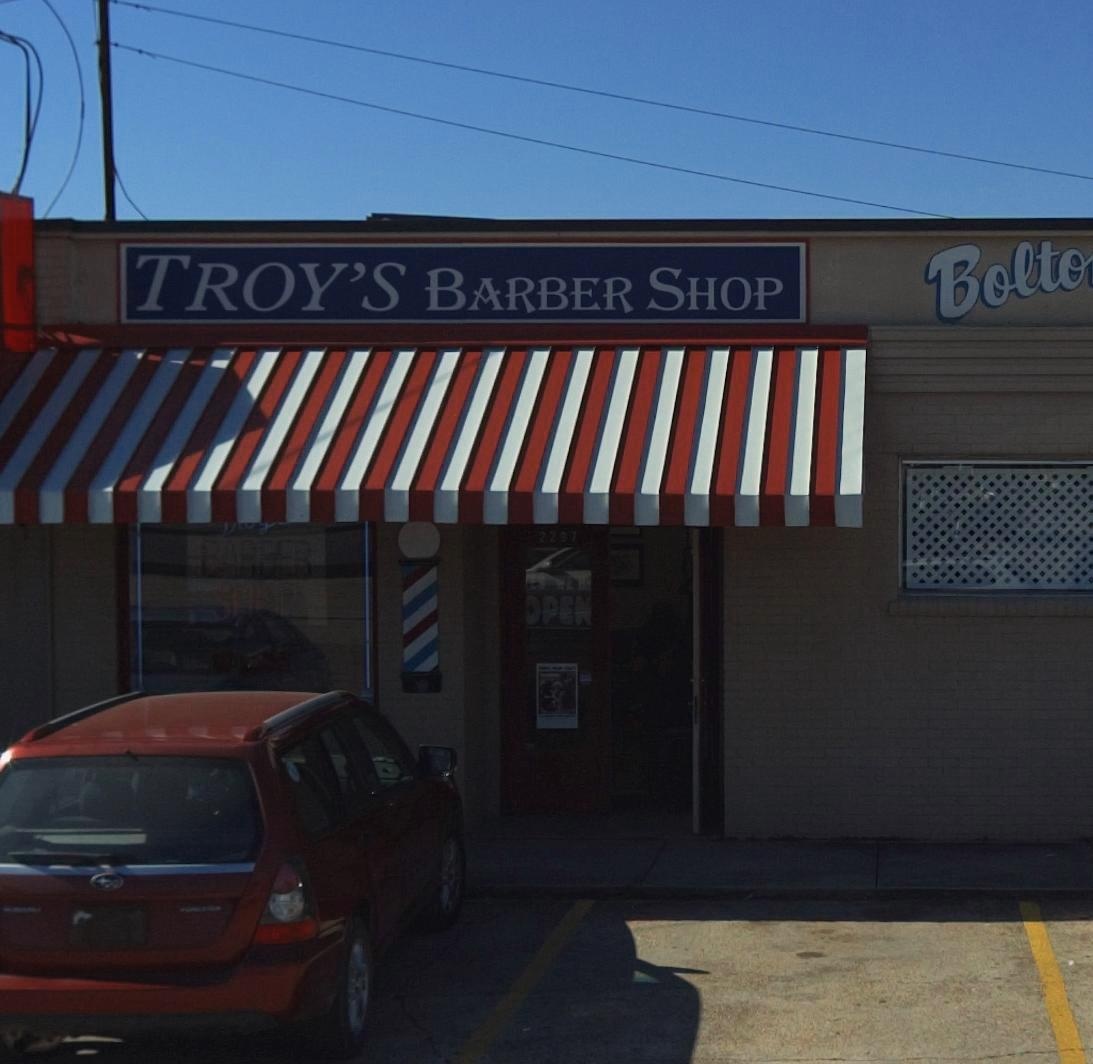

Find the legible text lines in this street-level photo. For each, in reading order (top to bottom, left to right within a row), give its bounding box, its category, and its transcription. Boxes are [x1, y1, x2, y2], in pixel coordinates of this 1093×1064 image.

[132, 251, 786, 317] BusinessName: TROY'S BARBER SHOP
[924, 238, 1088, 322] None: Bolto
[536, 529, 578, 545] StreetNumber: 2297
[522, 593, 594, 628] None: OPEN